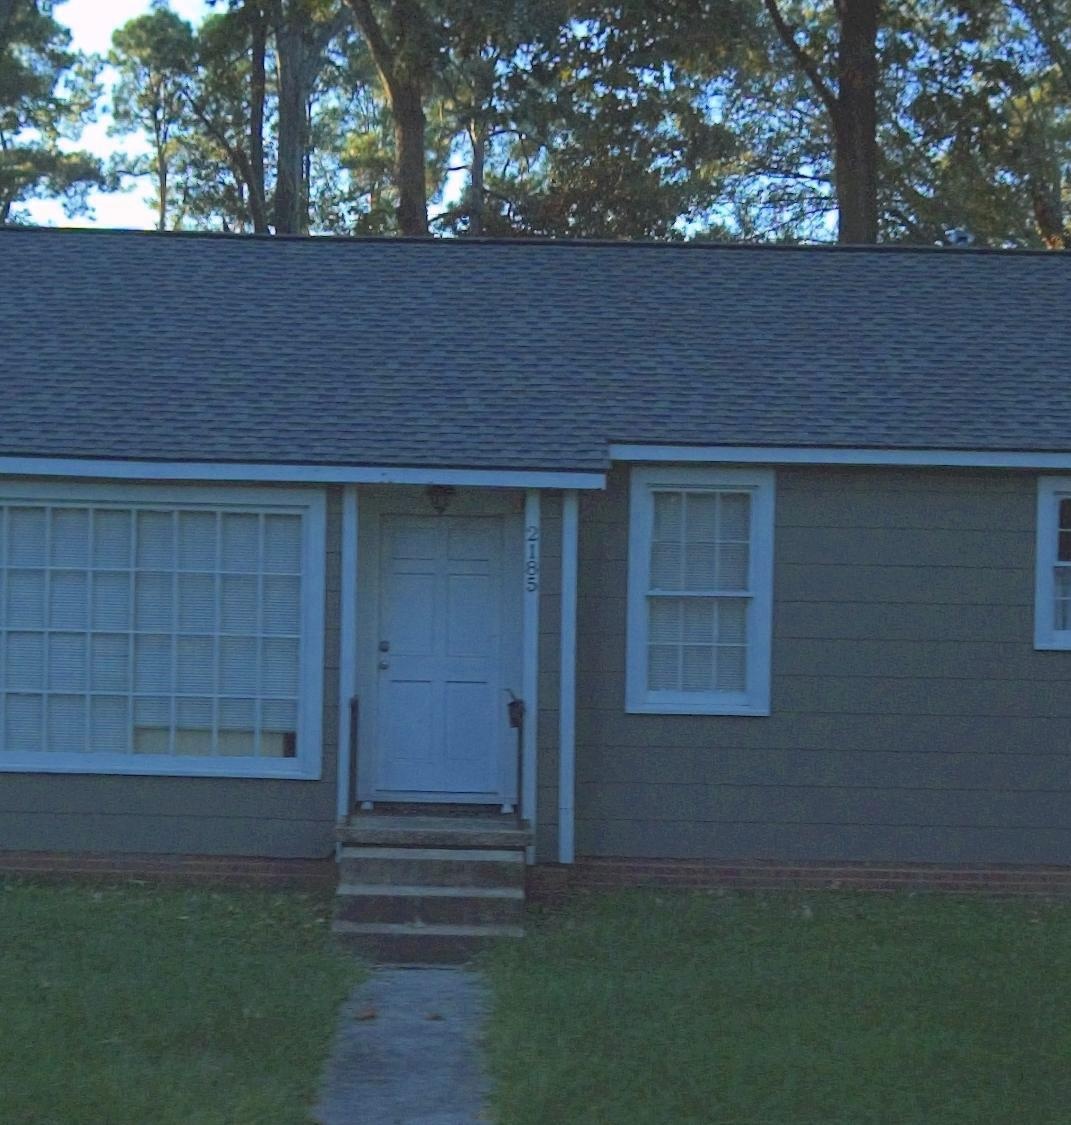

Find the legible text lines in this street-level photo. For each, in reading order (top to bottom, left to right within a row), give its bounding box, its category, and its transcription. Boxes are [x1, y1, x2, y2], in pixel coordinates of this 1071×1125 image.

[525, 523, 540, 594] StreetNumber: 2185